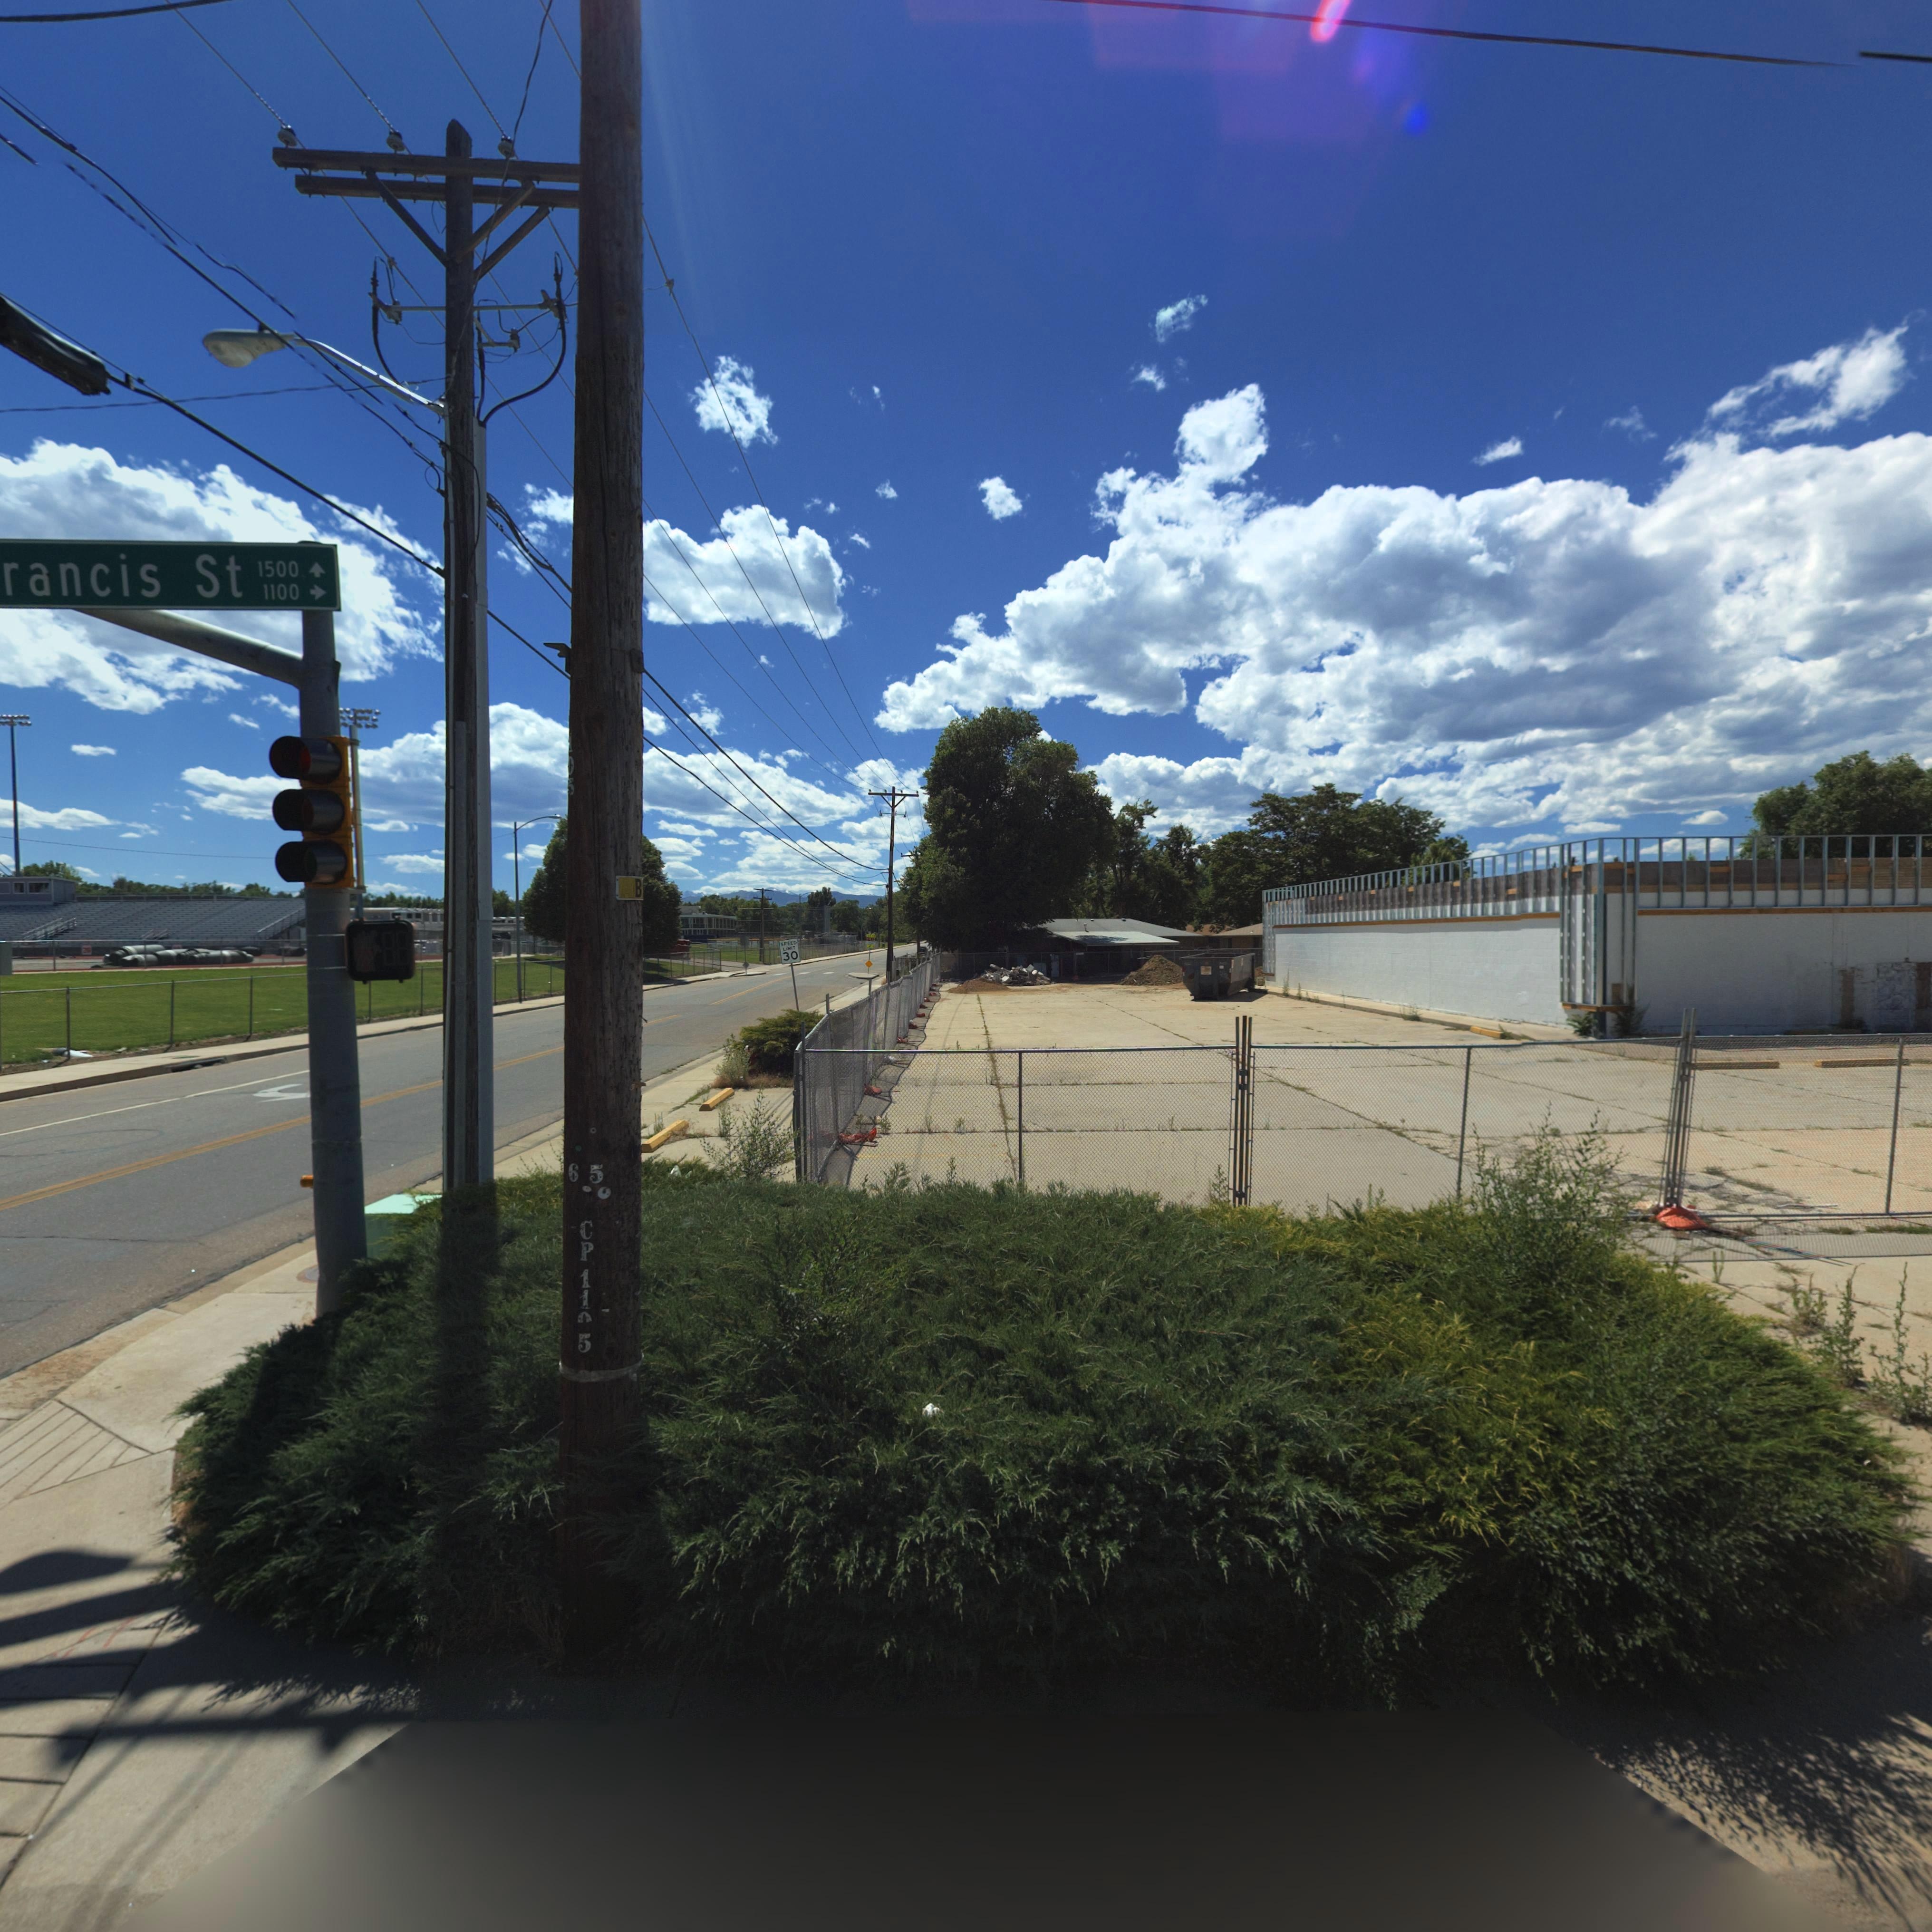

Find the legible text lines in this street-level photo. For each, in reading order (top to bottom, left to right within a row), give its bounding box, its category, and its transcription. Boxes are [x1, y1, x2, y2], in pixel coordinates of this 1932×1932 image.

[2, 551, 245, 600] StreetName: rancis St
[257, 559, 300, 580] StreetNumberRange: 1500
[262, 582, 328, 602] StreetNumberRange: 1100 ->